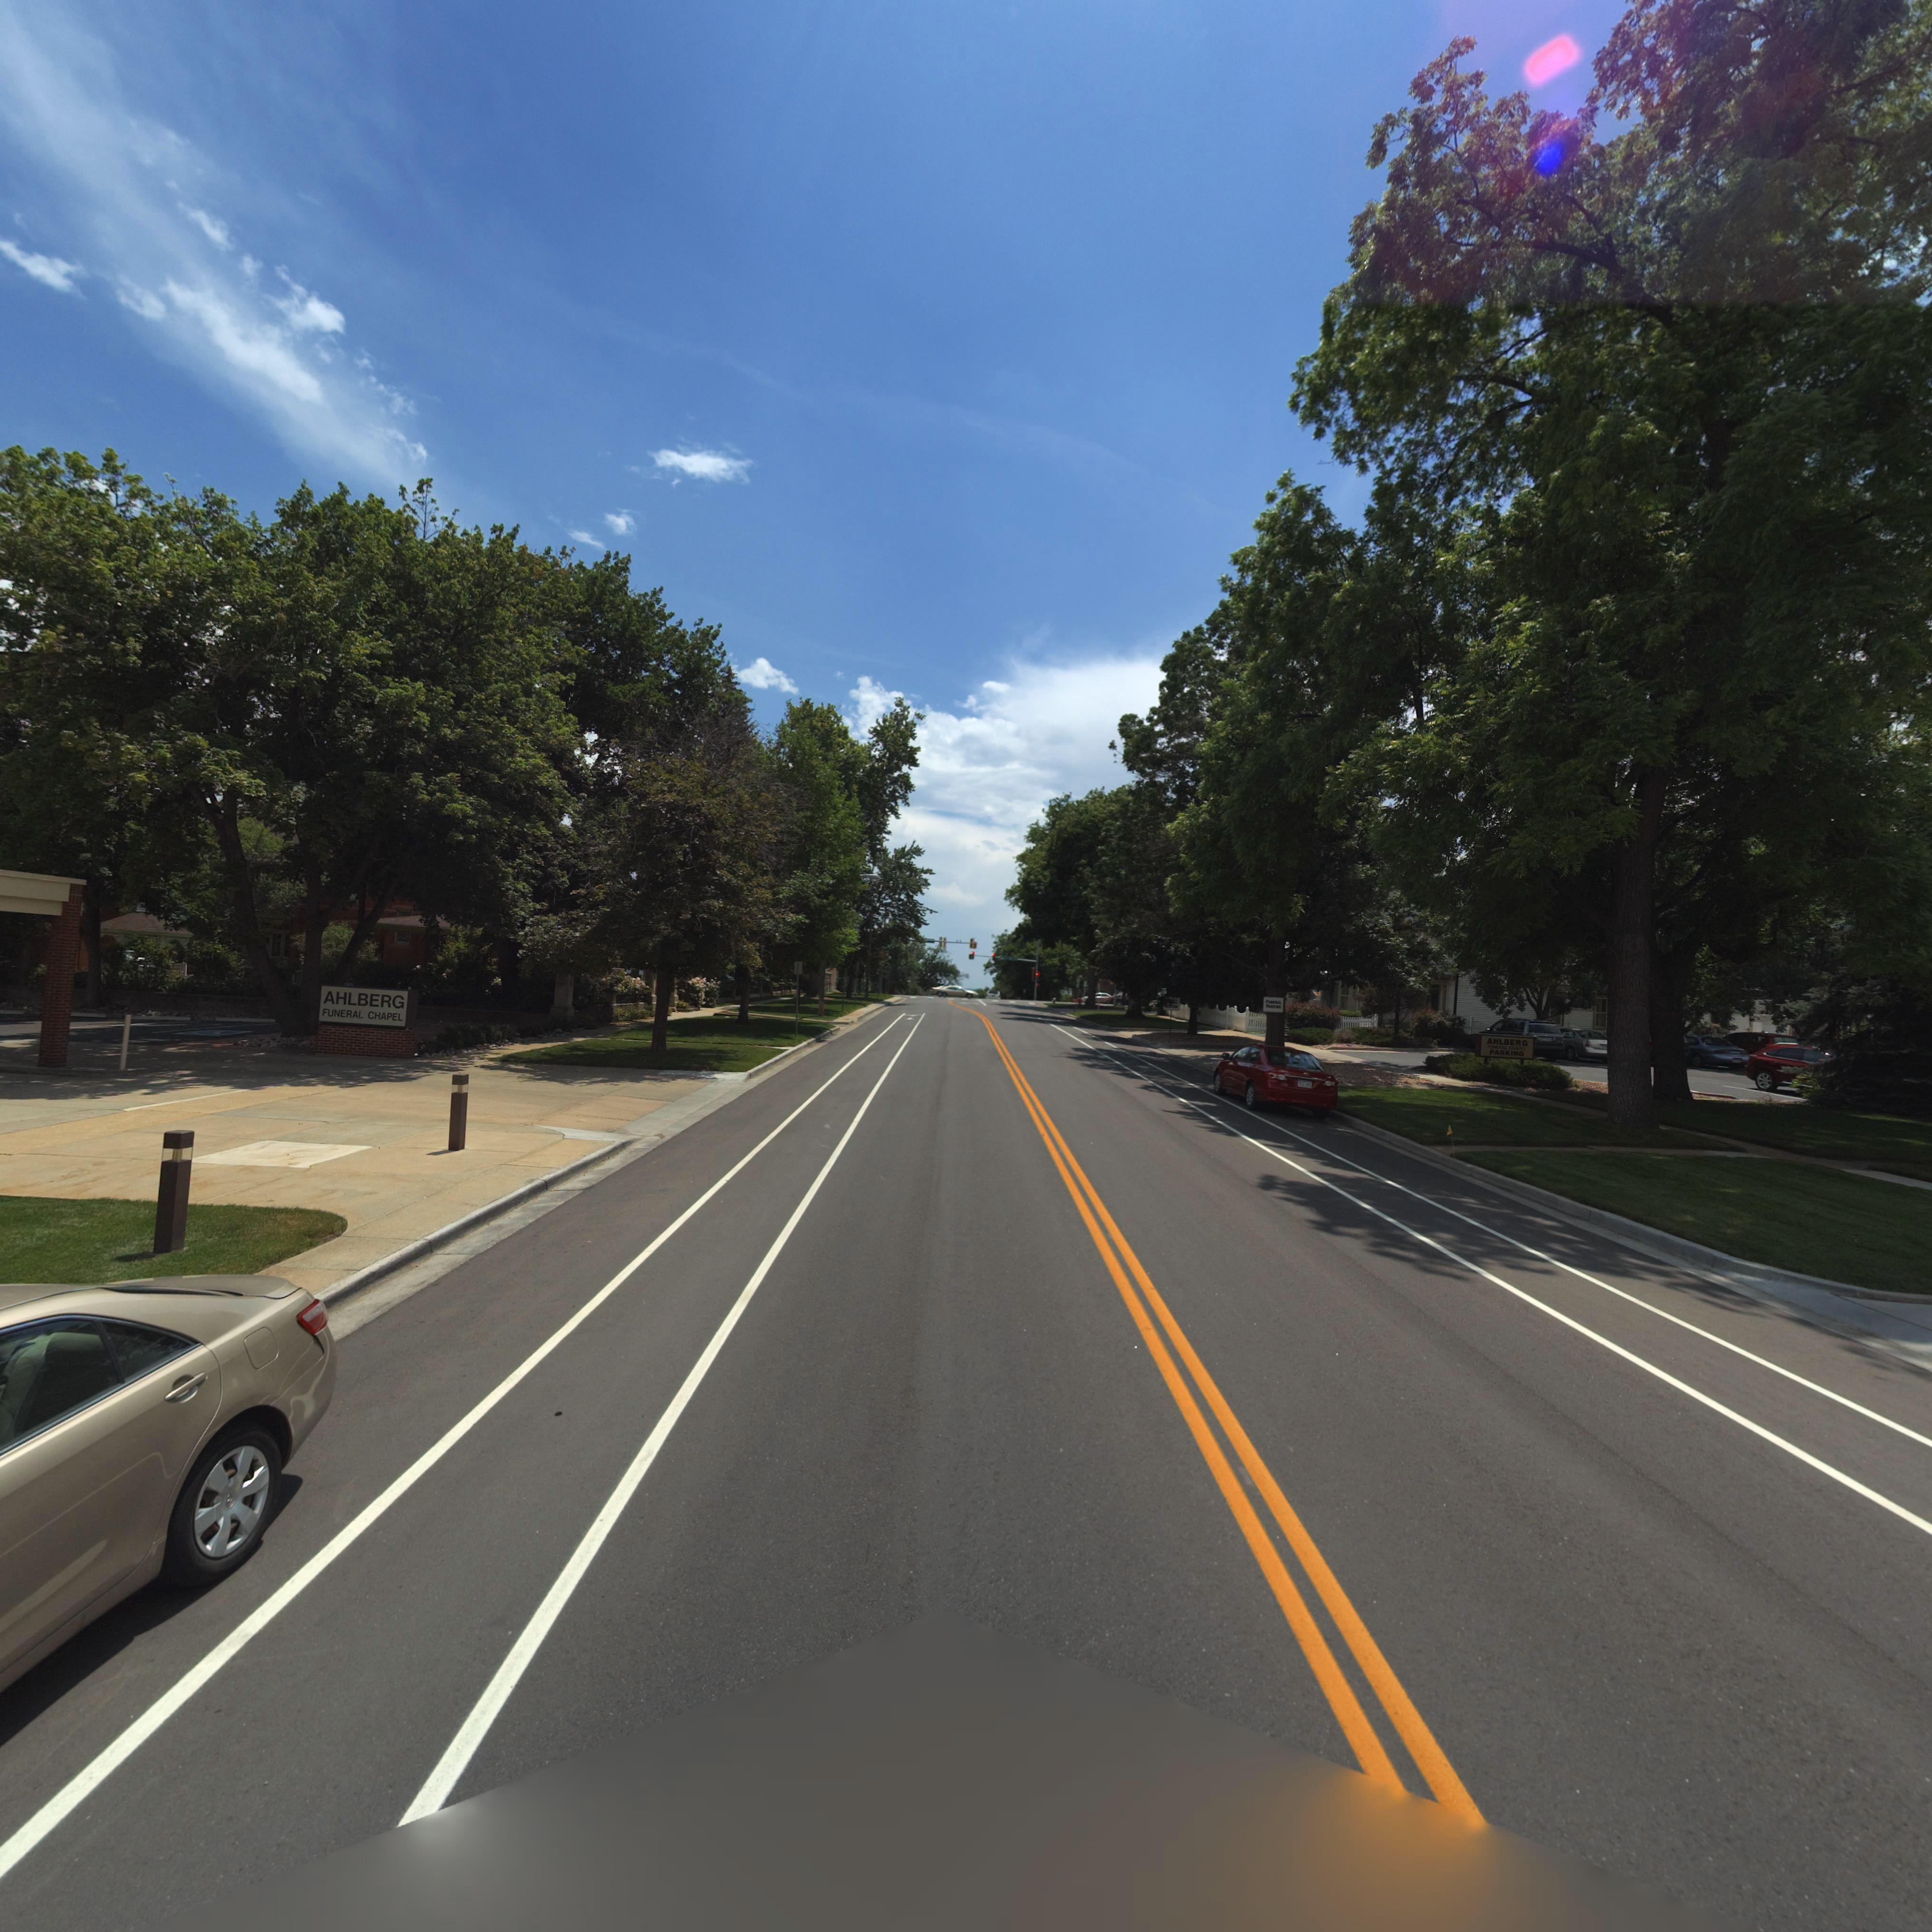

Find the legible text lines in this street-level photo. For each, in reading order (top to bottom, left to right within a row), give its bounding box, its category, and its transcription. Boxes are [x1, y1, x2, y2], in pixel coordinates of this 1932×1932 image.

[322, 990, 405, 1009] BusinessName: AHLBERG
[322, 1008, 403, 1022] BusinessName: FUNERAL CHAPEL
[1486, 1037, 1528, 1047] BusinessName: AHLBERG
[1487, 1044, 1527, 1051] BusinessName: FUNERAL CHAPEL